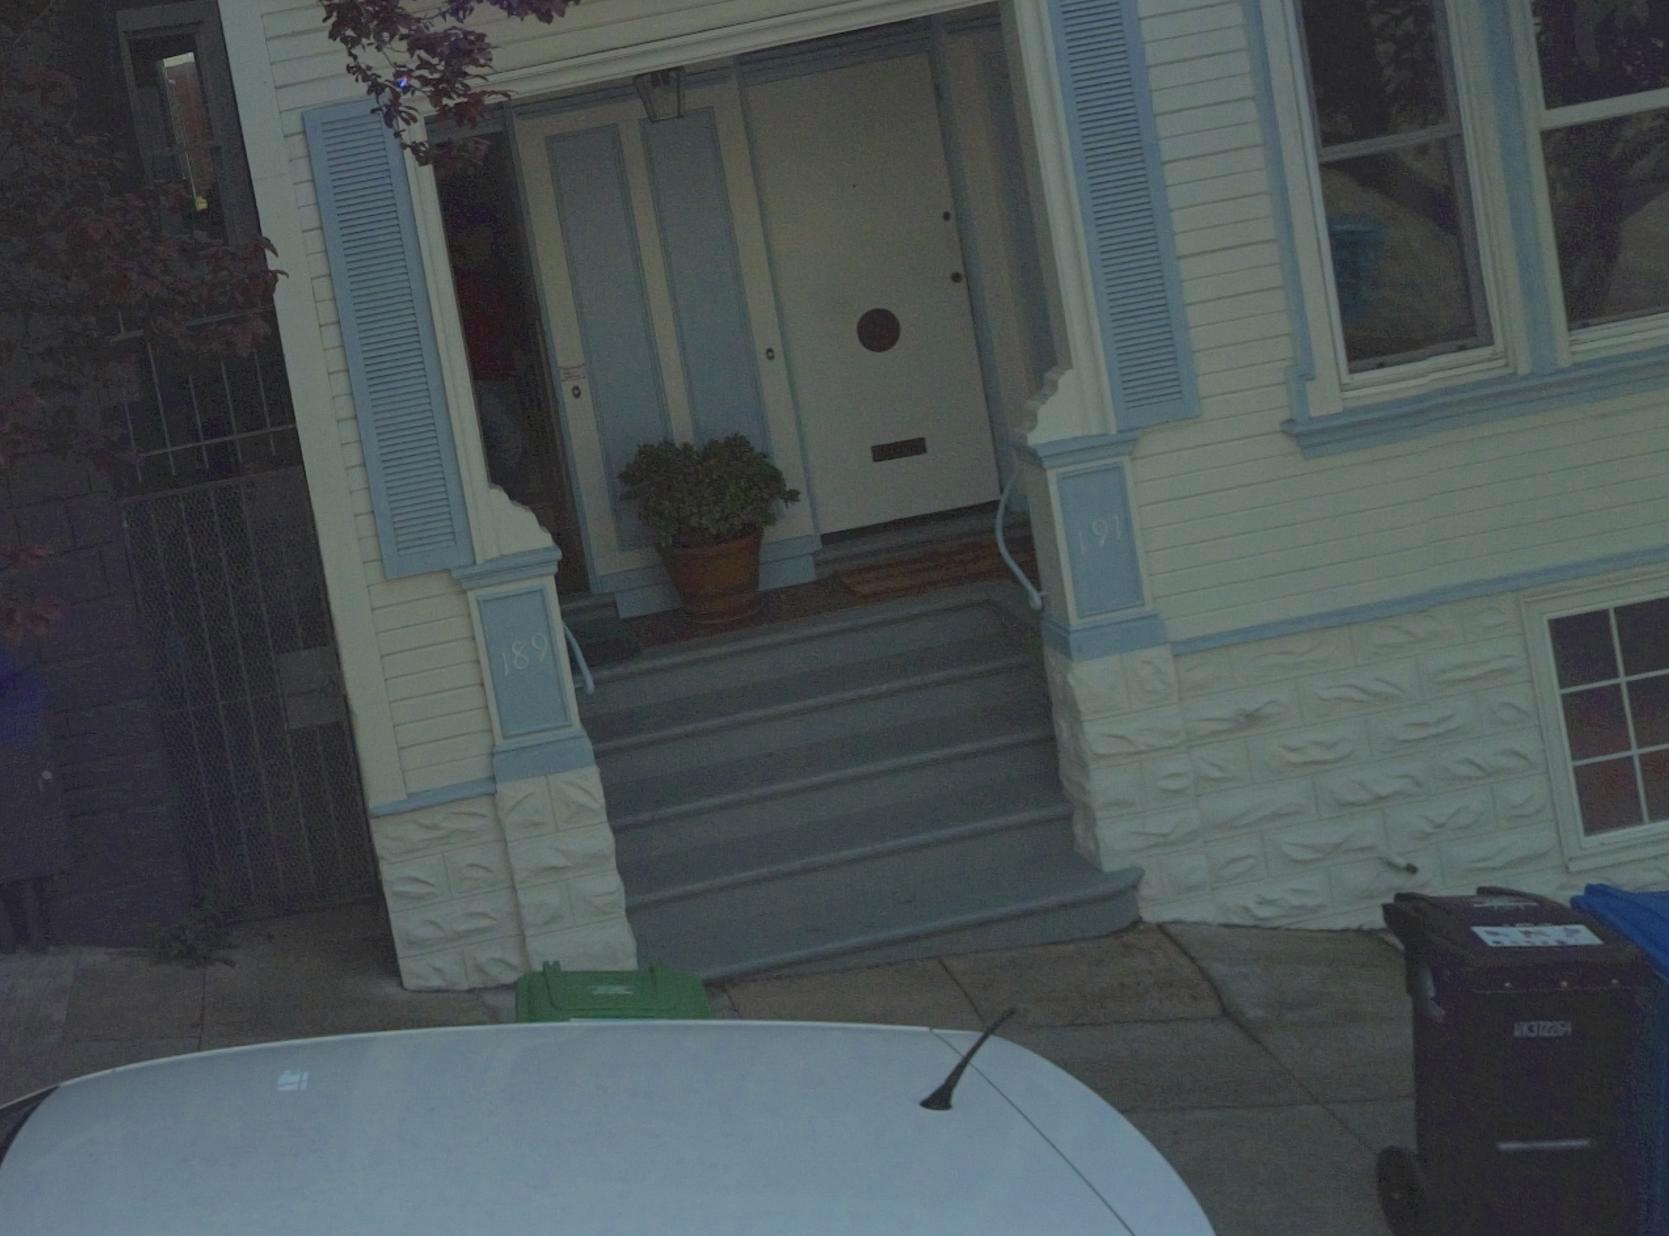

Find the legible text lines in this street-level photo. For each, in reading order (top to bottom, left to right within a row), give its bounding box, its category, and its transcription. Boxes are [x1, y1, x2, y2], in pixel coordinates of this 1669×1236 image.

[1077, 510, 1124, 558] StreetNumber: 191
[496, 628, 552, 680] StreetNumber: 189
[1511, 1020, 1573, 1039] None: **372264